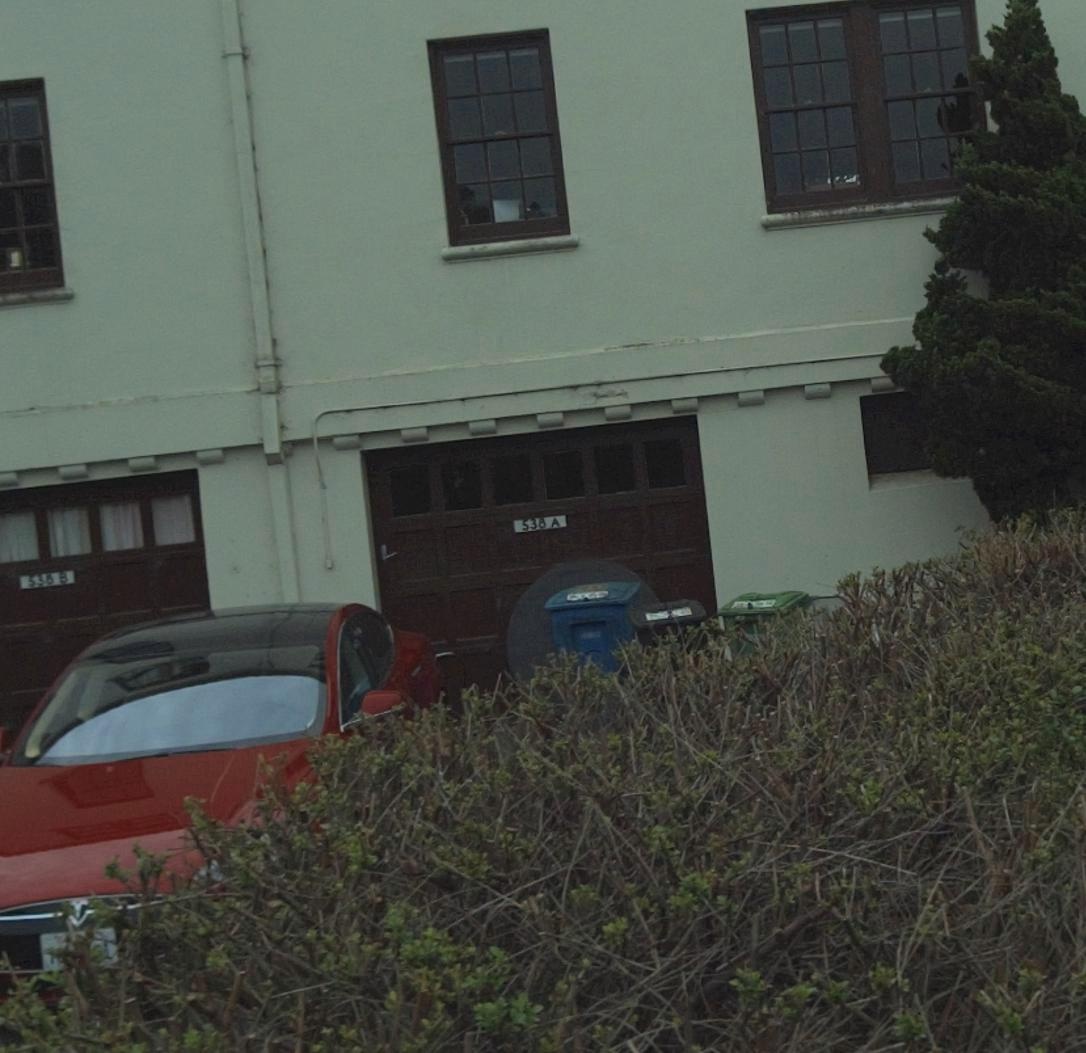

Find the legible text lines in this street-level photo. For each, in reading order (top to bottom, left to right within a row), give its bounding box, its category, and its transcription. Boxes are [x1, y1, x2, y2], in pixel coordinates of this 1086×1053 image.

[520, 516, 563, 531] StreetNumber: 538 A
[27, 570, 71, 588] StreetNumber: 538 B